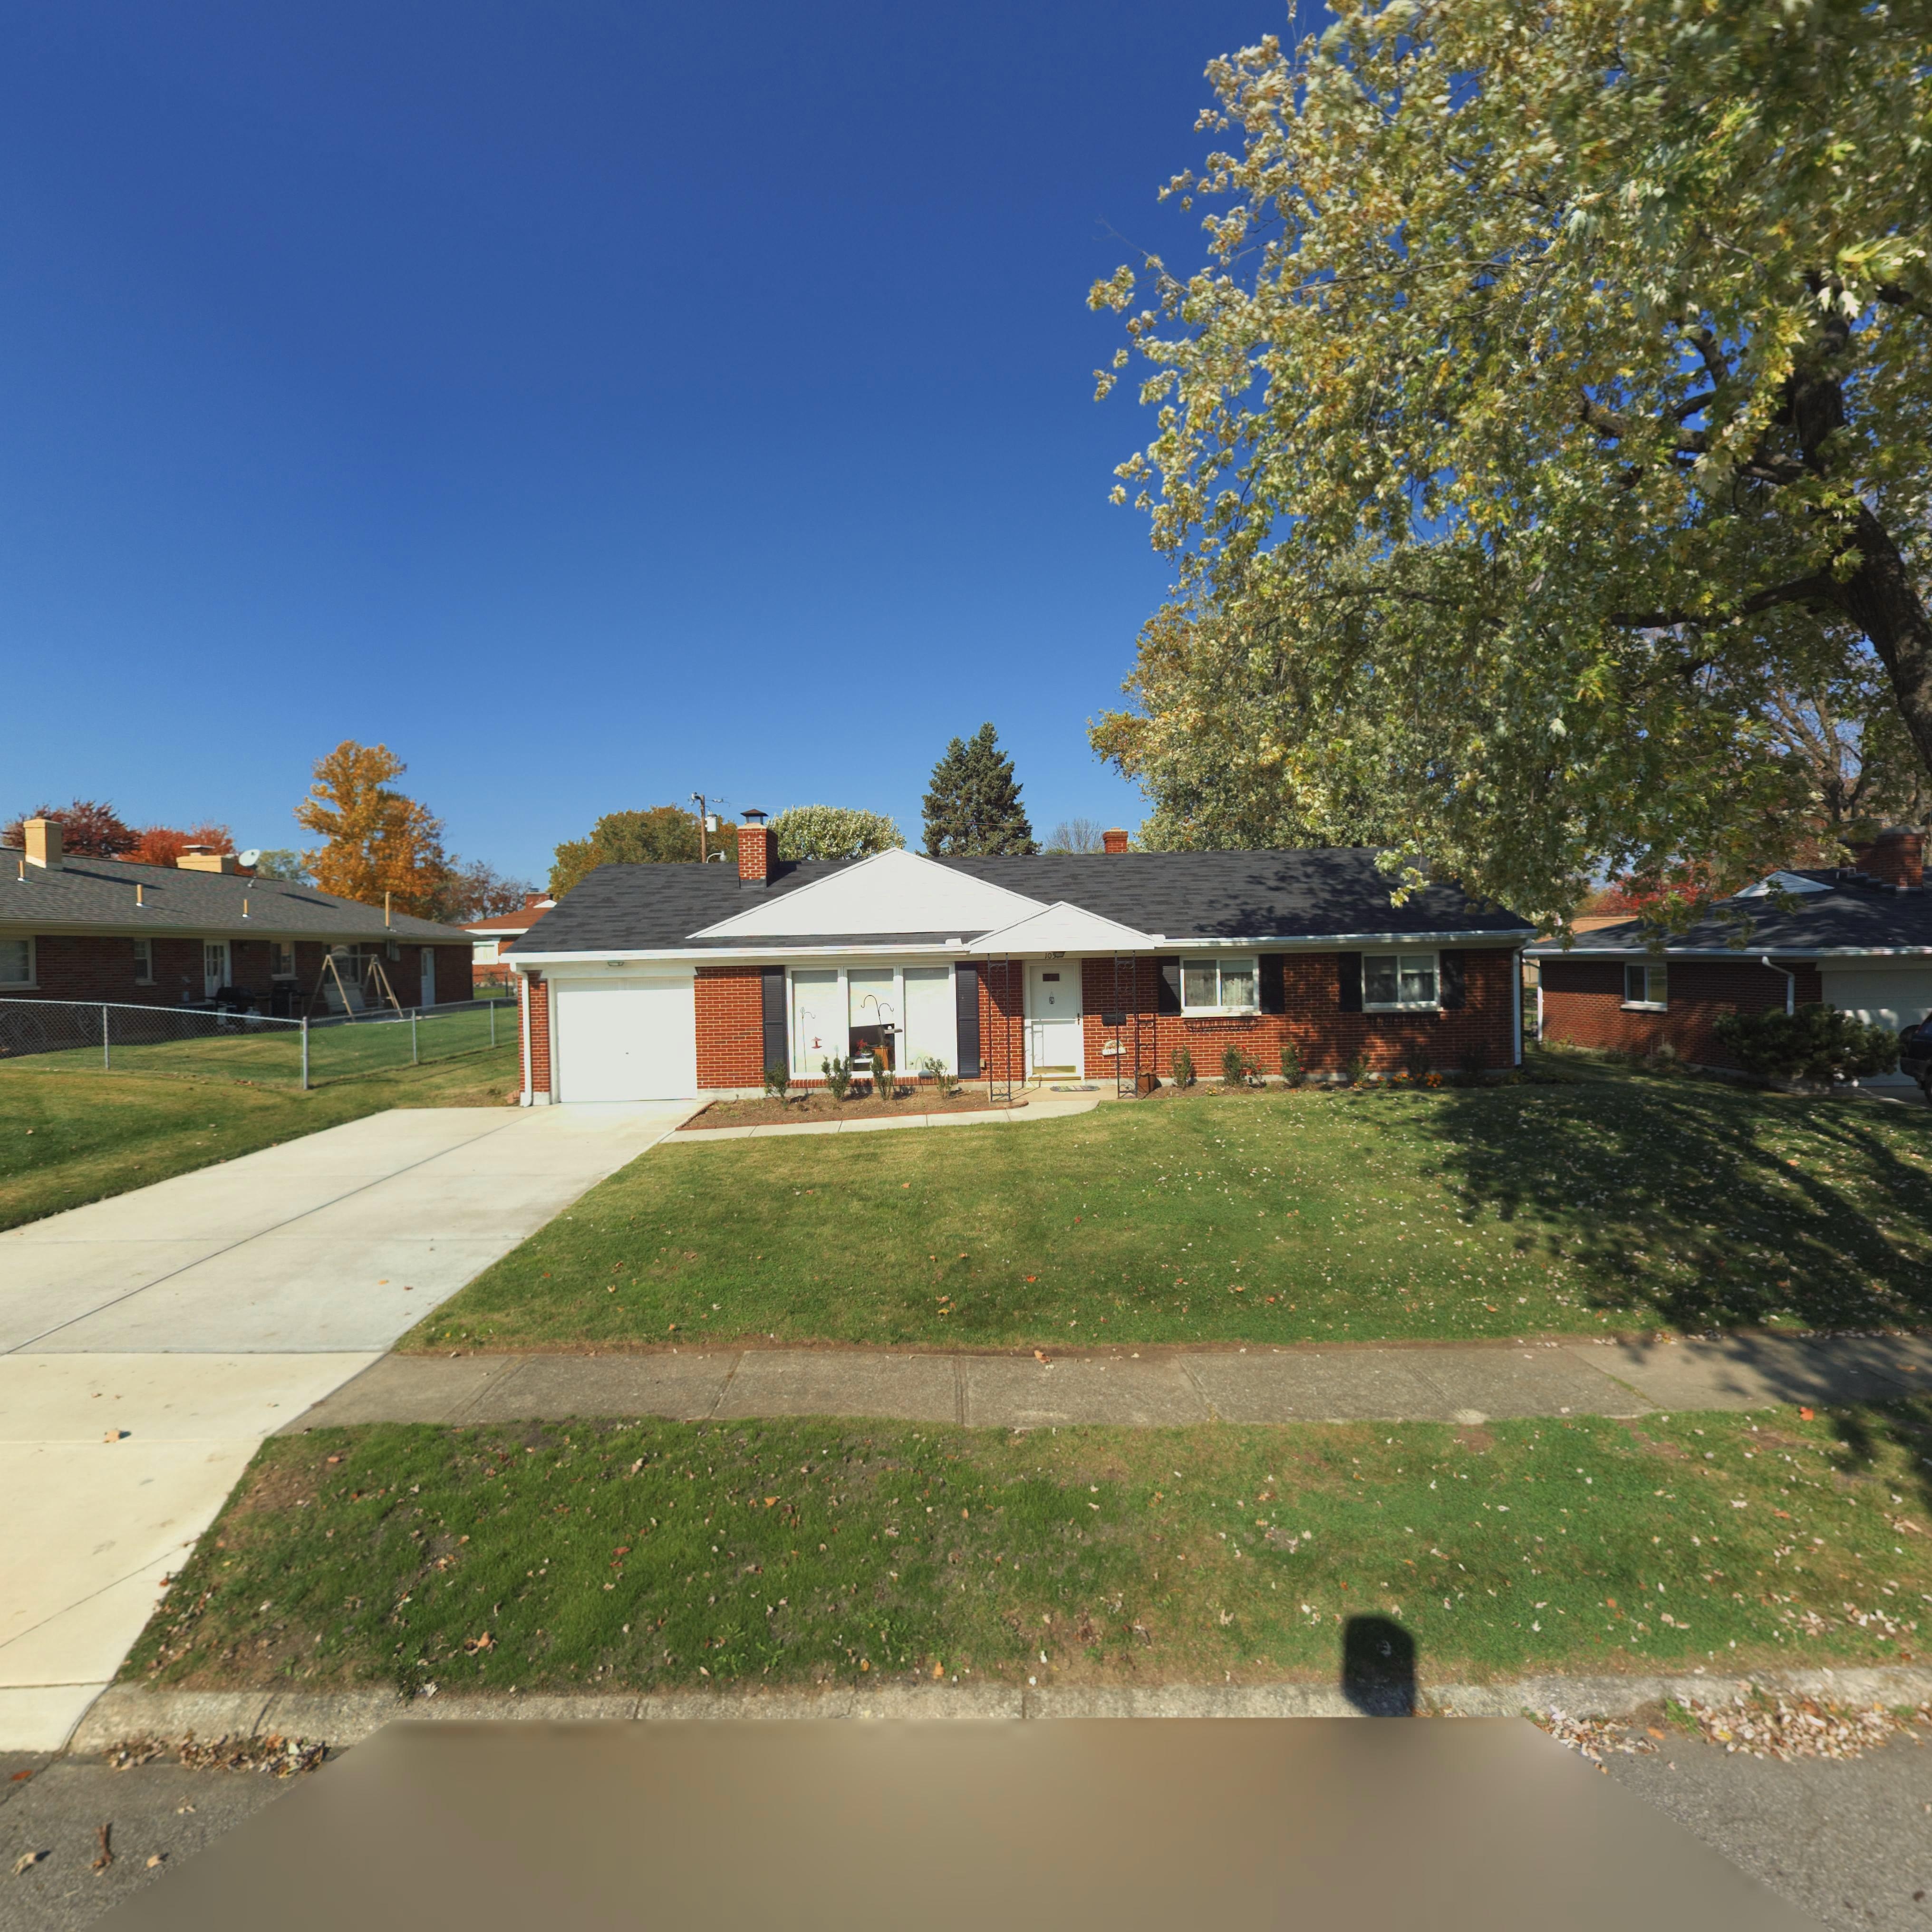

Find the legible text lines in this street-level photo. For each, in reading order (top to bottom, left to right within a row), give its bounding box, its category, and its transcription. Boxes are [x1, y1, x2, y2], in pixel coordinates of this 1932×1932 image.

[1044, 952, 1052, 959] StreetNumber: 10